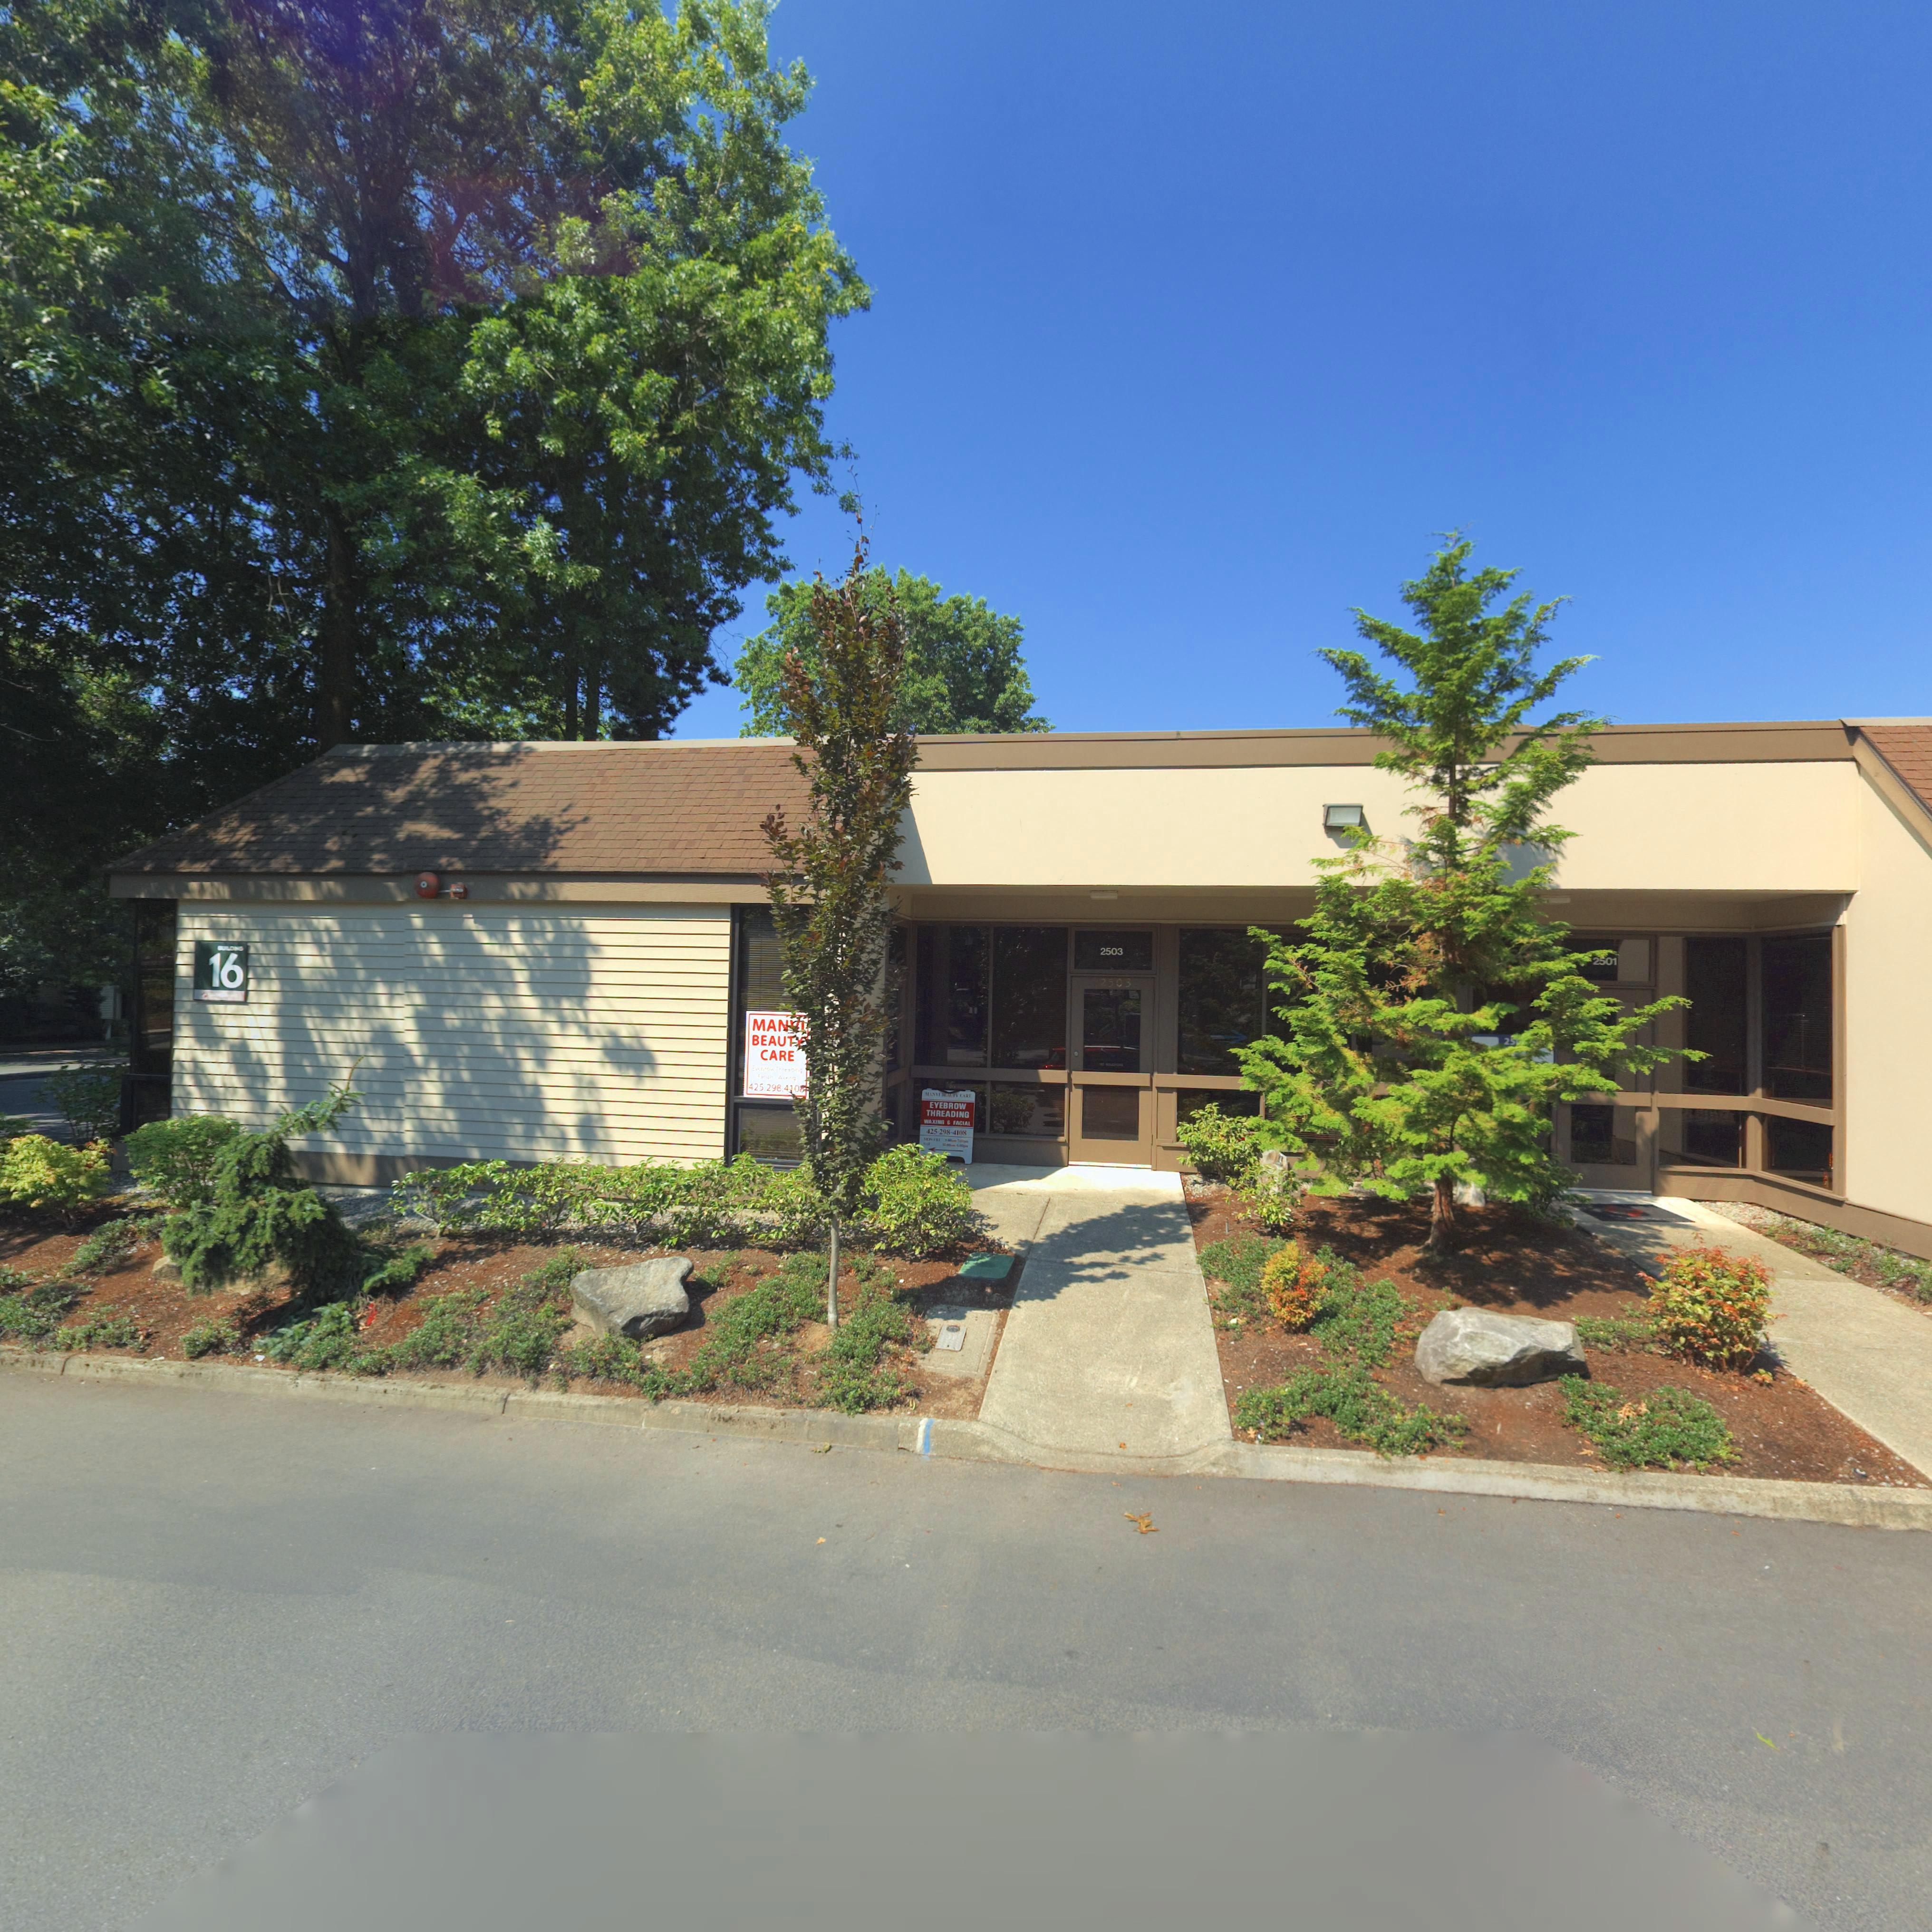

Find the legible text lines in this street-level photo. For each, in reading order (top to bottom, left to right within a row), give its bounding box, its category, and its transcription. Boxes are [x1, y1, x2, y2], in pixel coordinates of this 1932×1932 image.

[217, 945, 243, 951] SecondaryUnitDesignator: BUILDING
[1100, 947, 1123, 956] StreetNumber: 2503
[1593, 956, 1617, 966] StreetNumber: 2501
[208, 951, 245, 989] SecondaryUnitDesignator: 16
[1100, 978, 1133, 987] StreetNumber: 2503